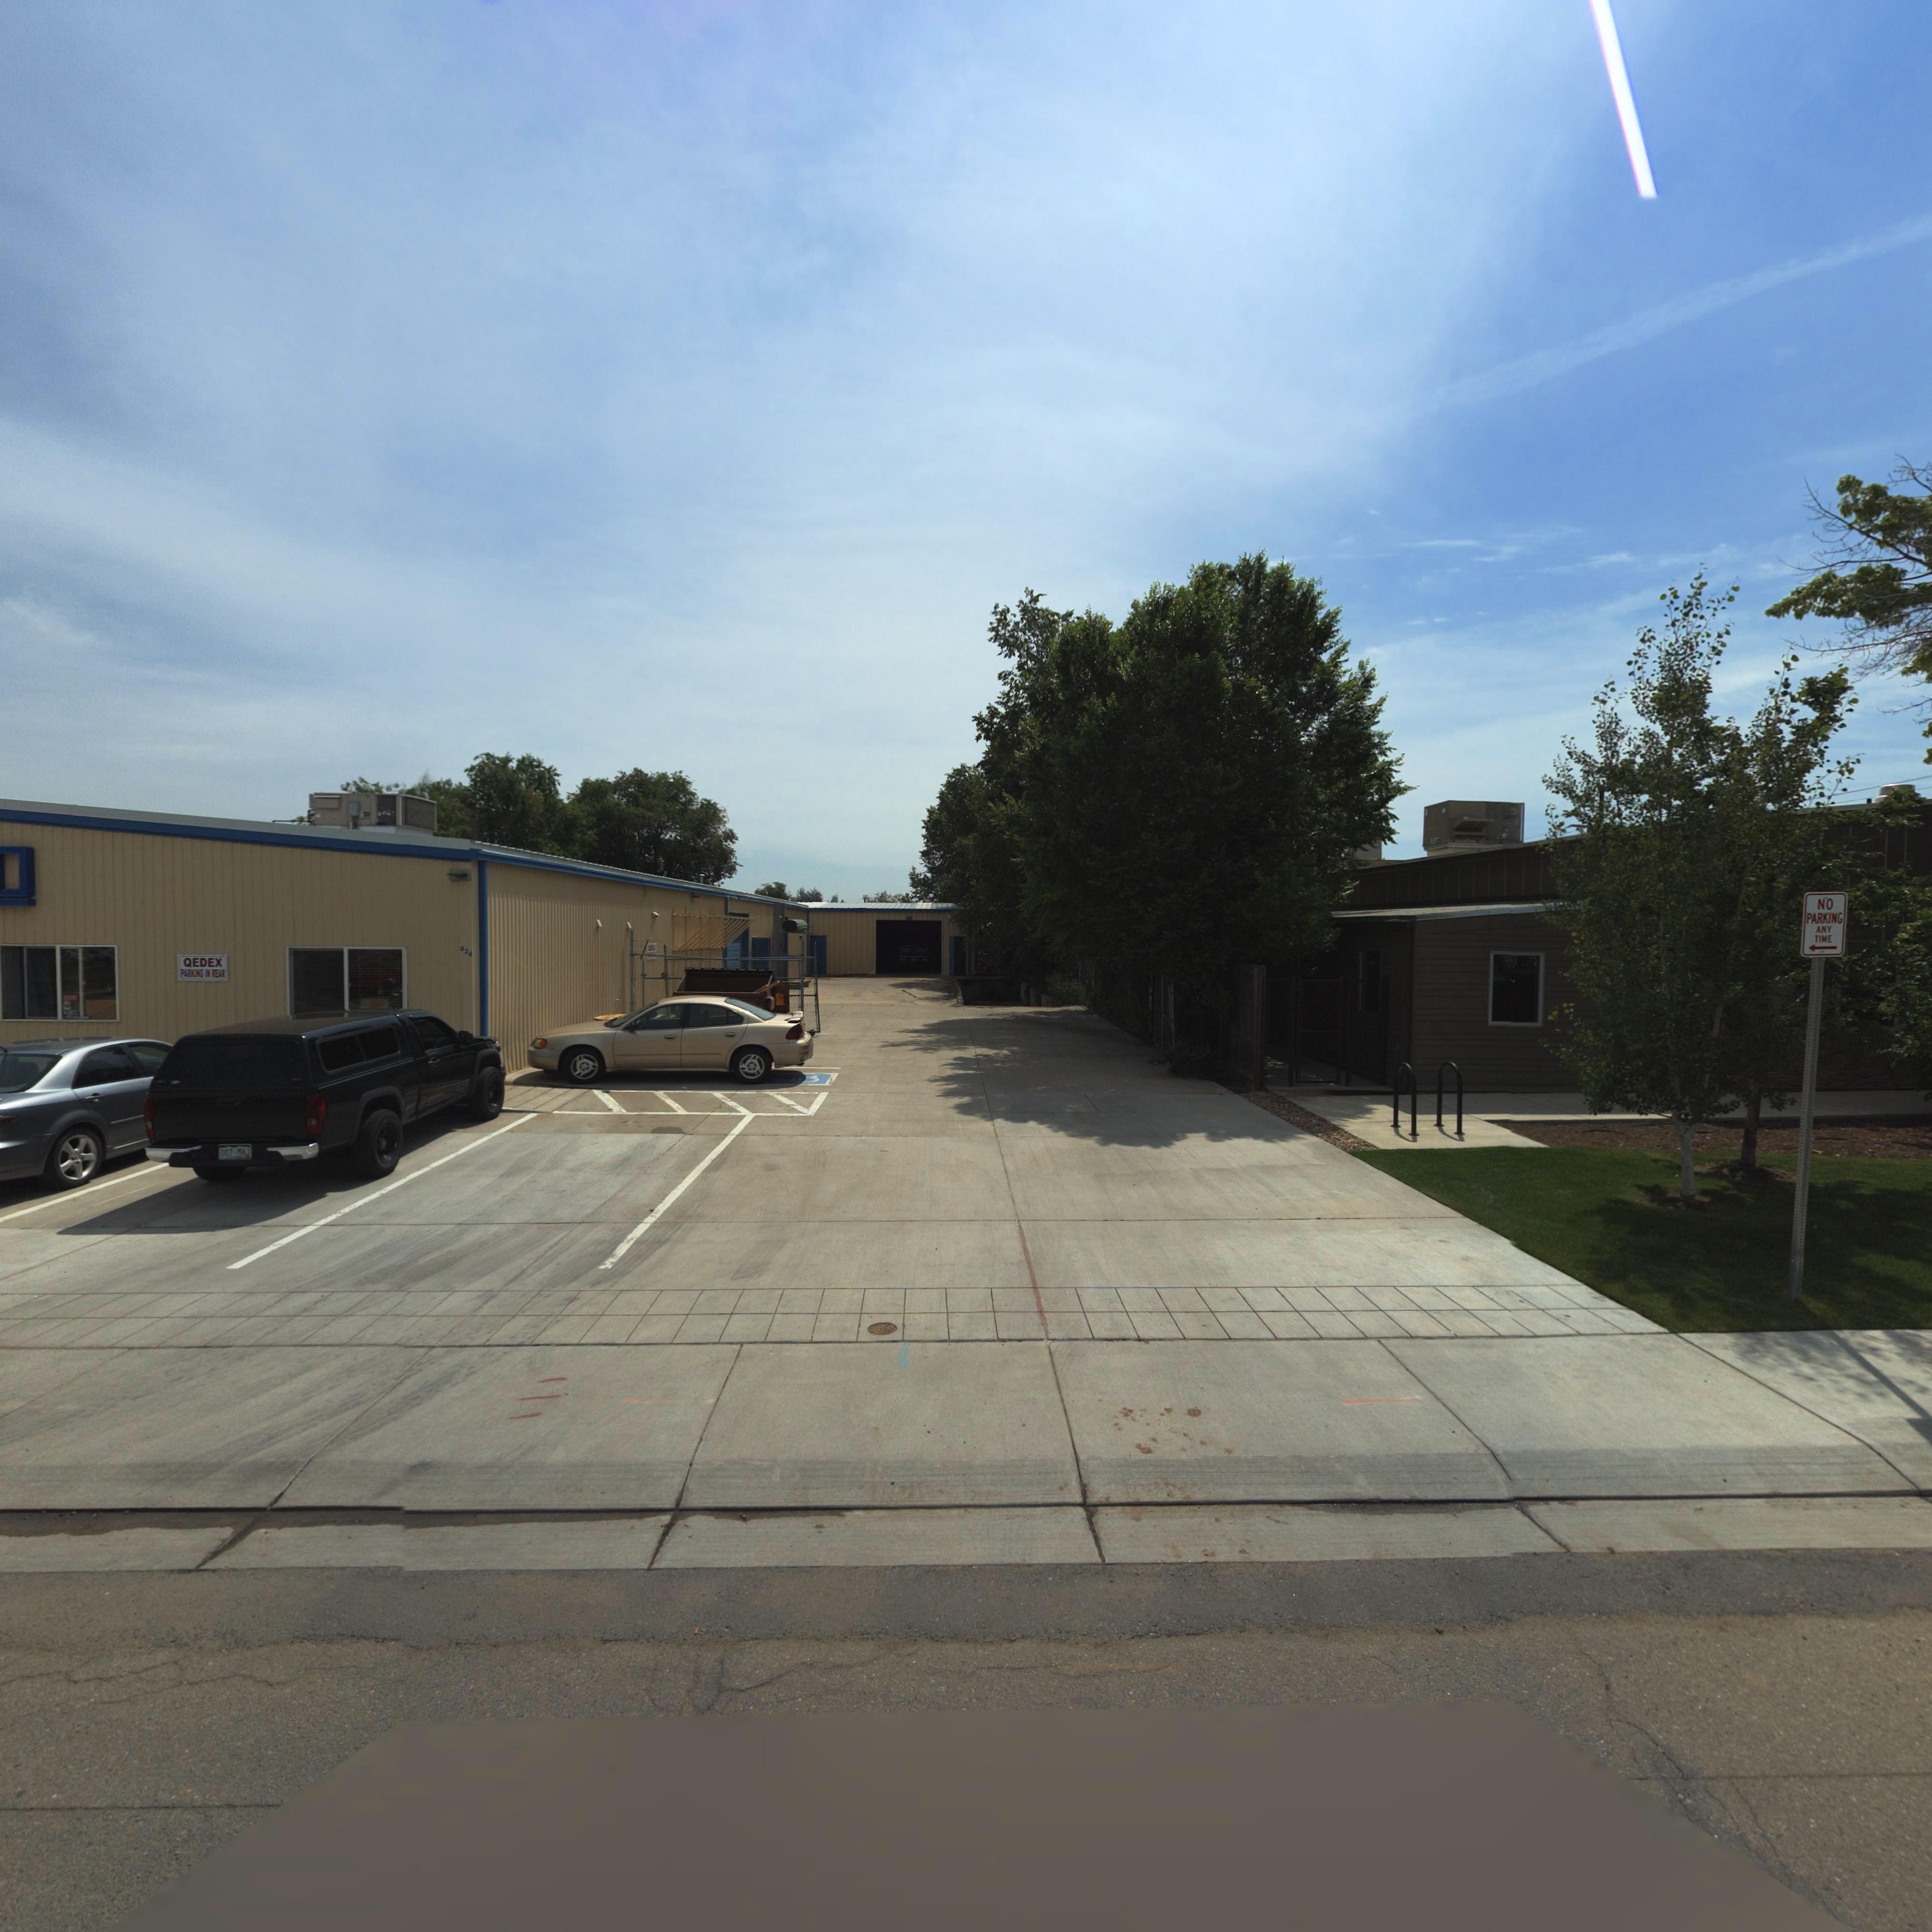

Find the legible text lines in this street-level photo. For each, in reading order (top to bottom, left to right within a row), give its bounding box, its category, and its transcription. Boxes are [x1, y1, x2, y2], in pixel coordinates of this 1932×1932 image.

[460, 945, 473, 956] StreetNumber: 826
[183, 957, 223, 968] BusinessName: QEDEX